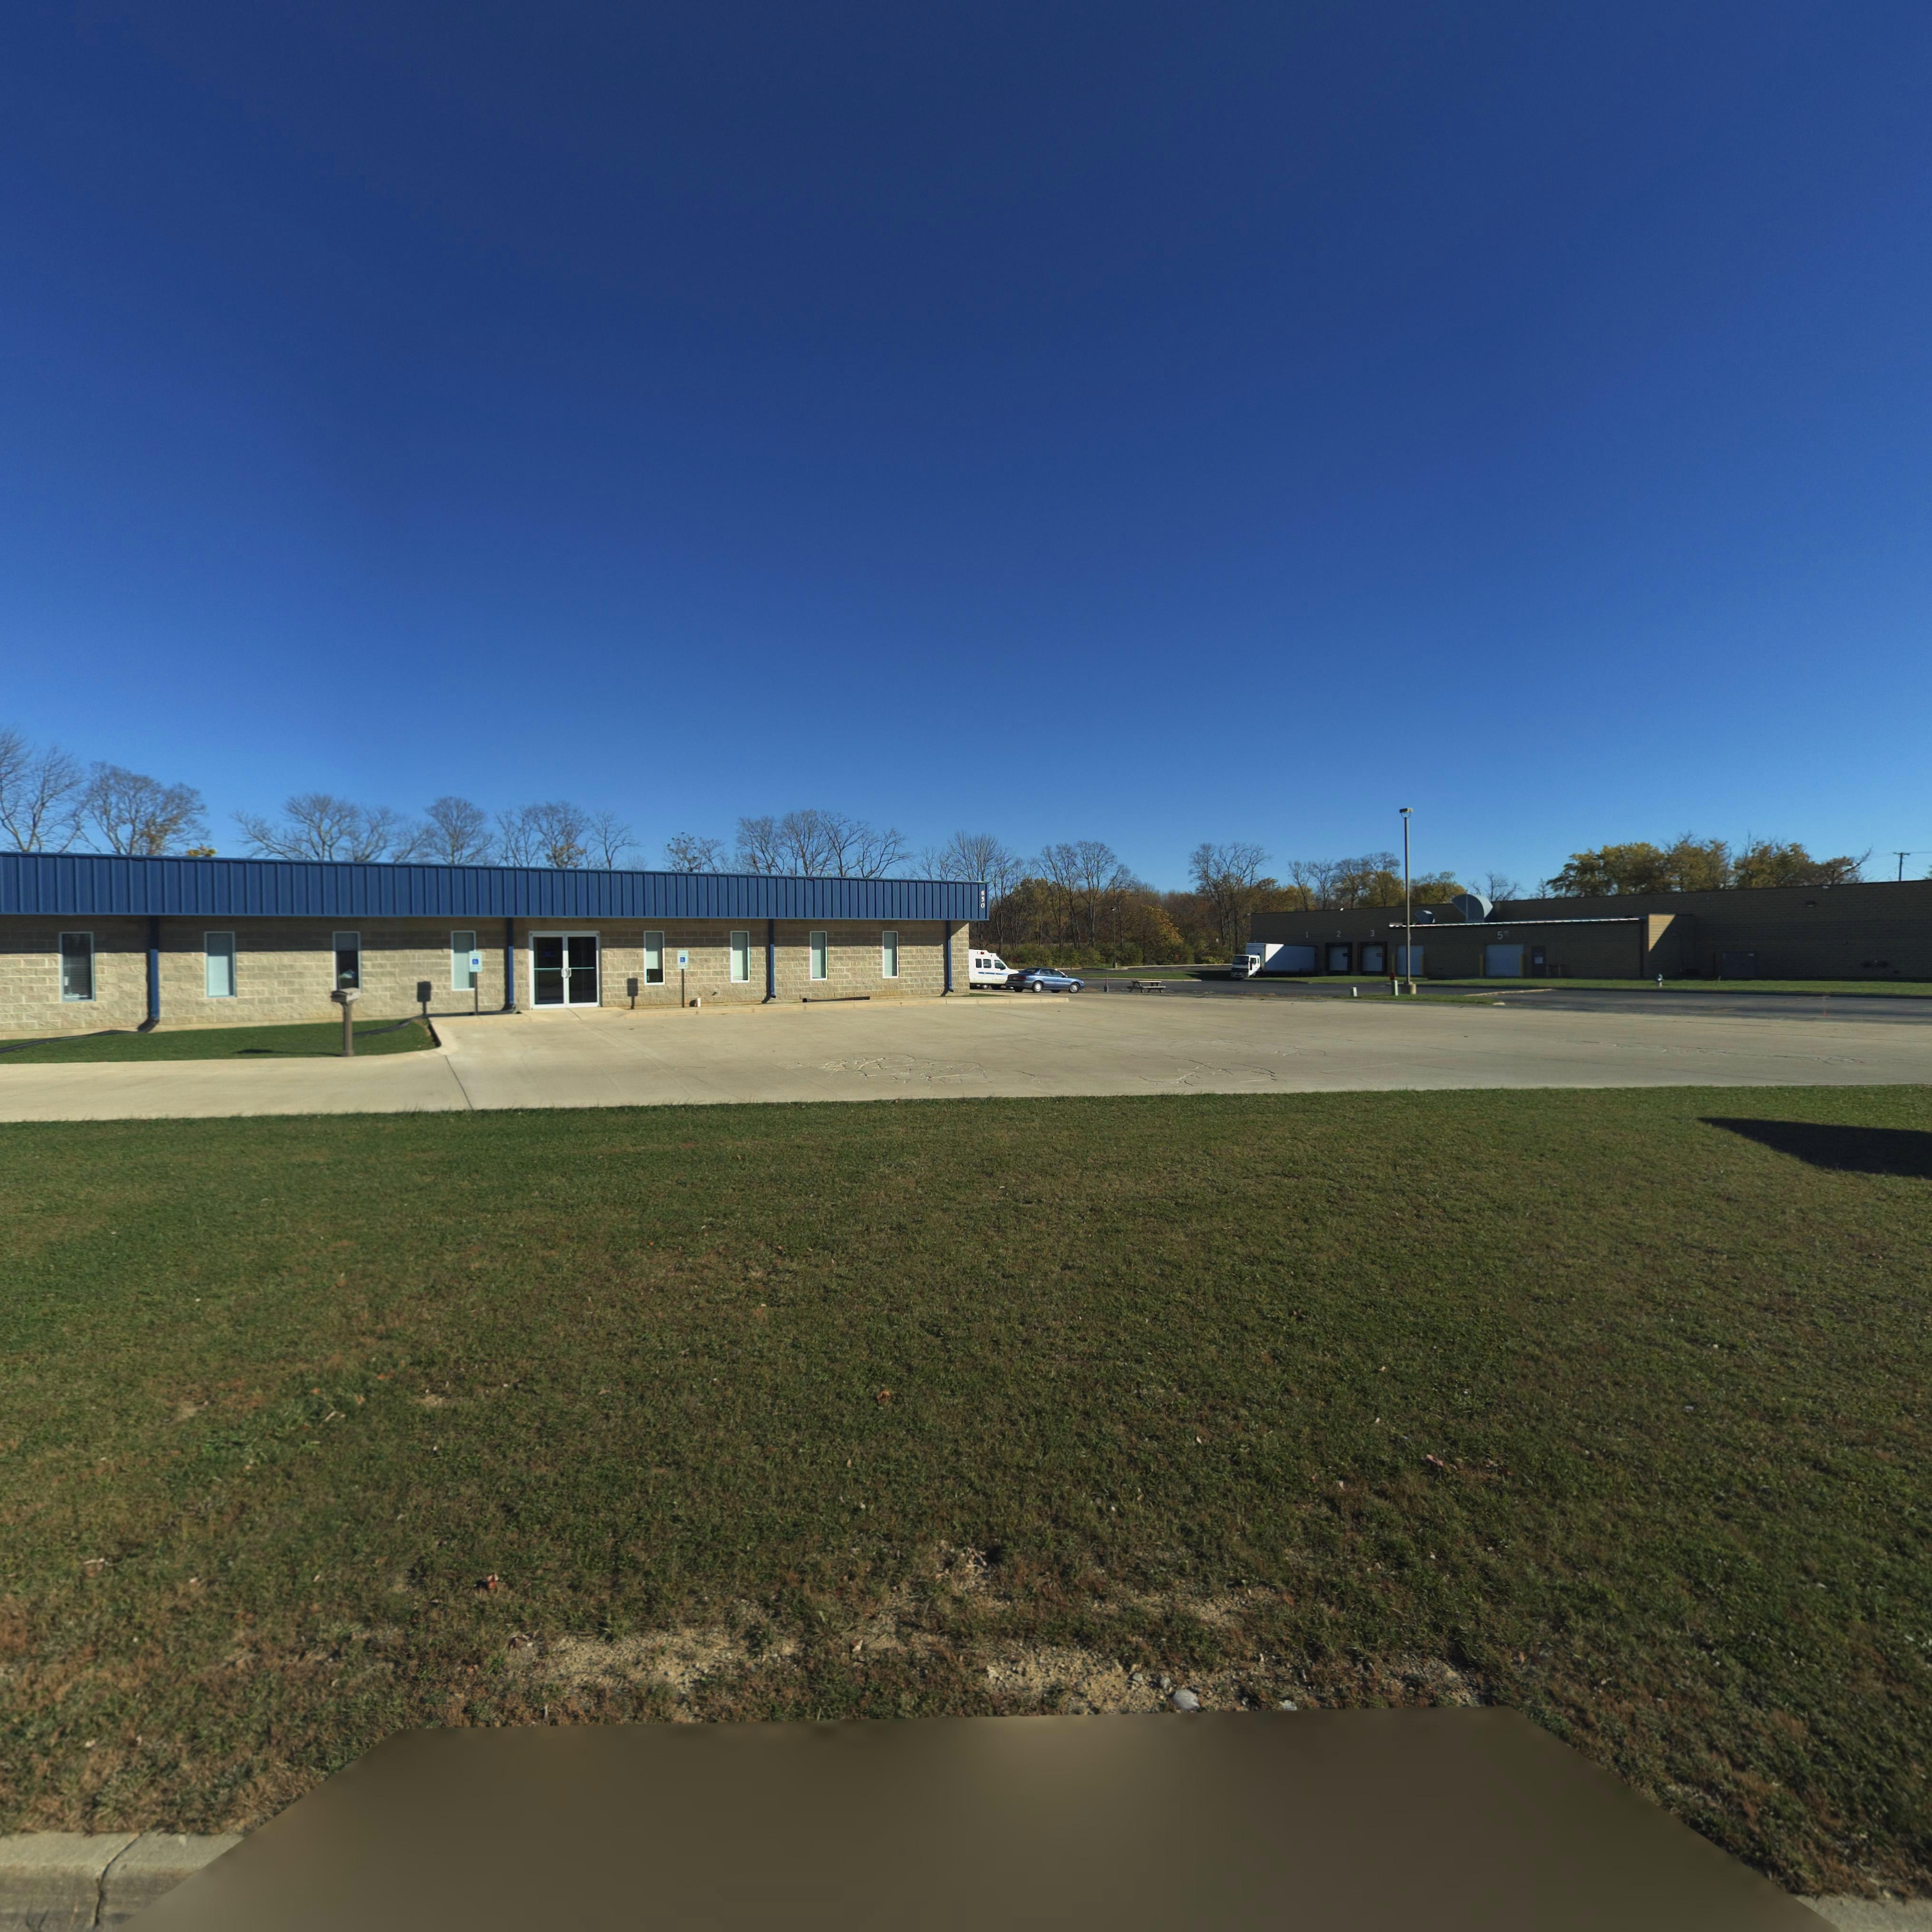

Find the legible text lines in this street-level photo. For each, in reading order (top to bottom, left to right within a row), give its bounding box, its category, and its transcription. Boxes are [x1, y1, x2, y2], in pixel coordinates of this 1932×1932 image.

[980, 889, 985, 909] StreetNumber: 650